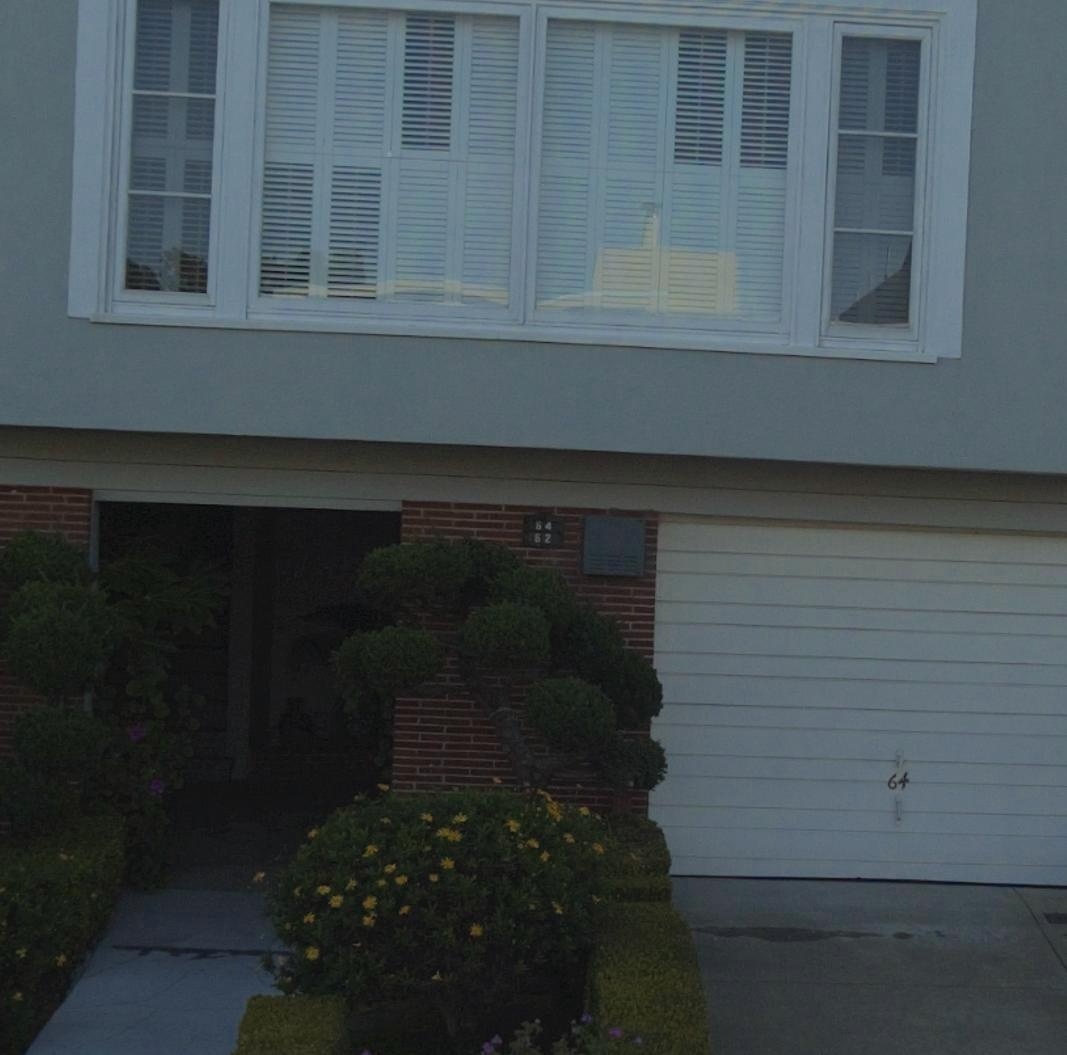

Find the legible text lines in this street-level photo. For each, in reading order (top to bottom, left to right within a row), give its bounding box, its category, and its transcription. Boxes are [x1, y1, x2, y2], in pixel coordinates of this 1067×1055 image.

[533, 517, 555, 534] StreetNumber: 64
[532, 530, 553, 546] StreetNumber: 62
[883, 768, 914, 794] StreetNumber: 64